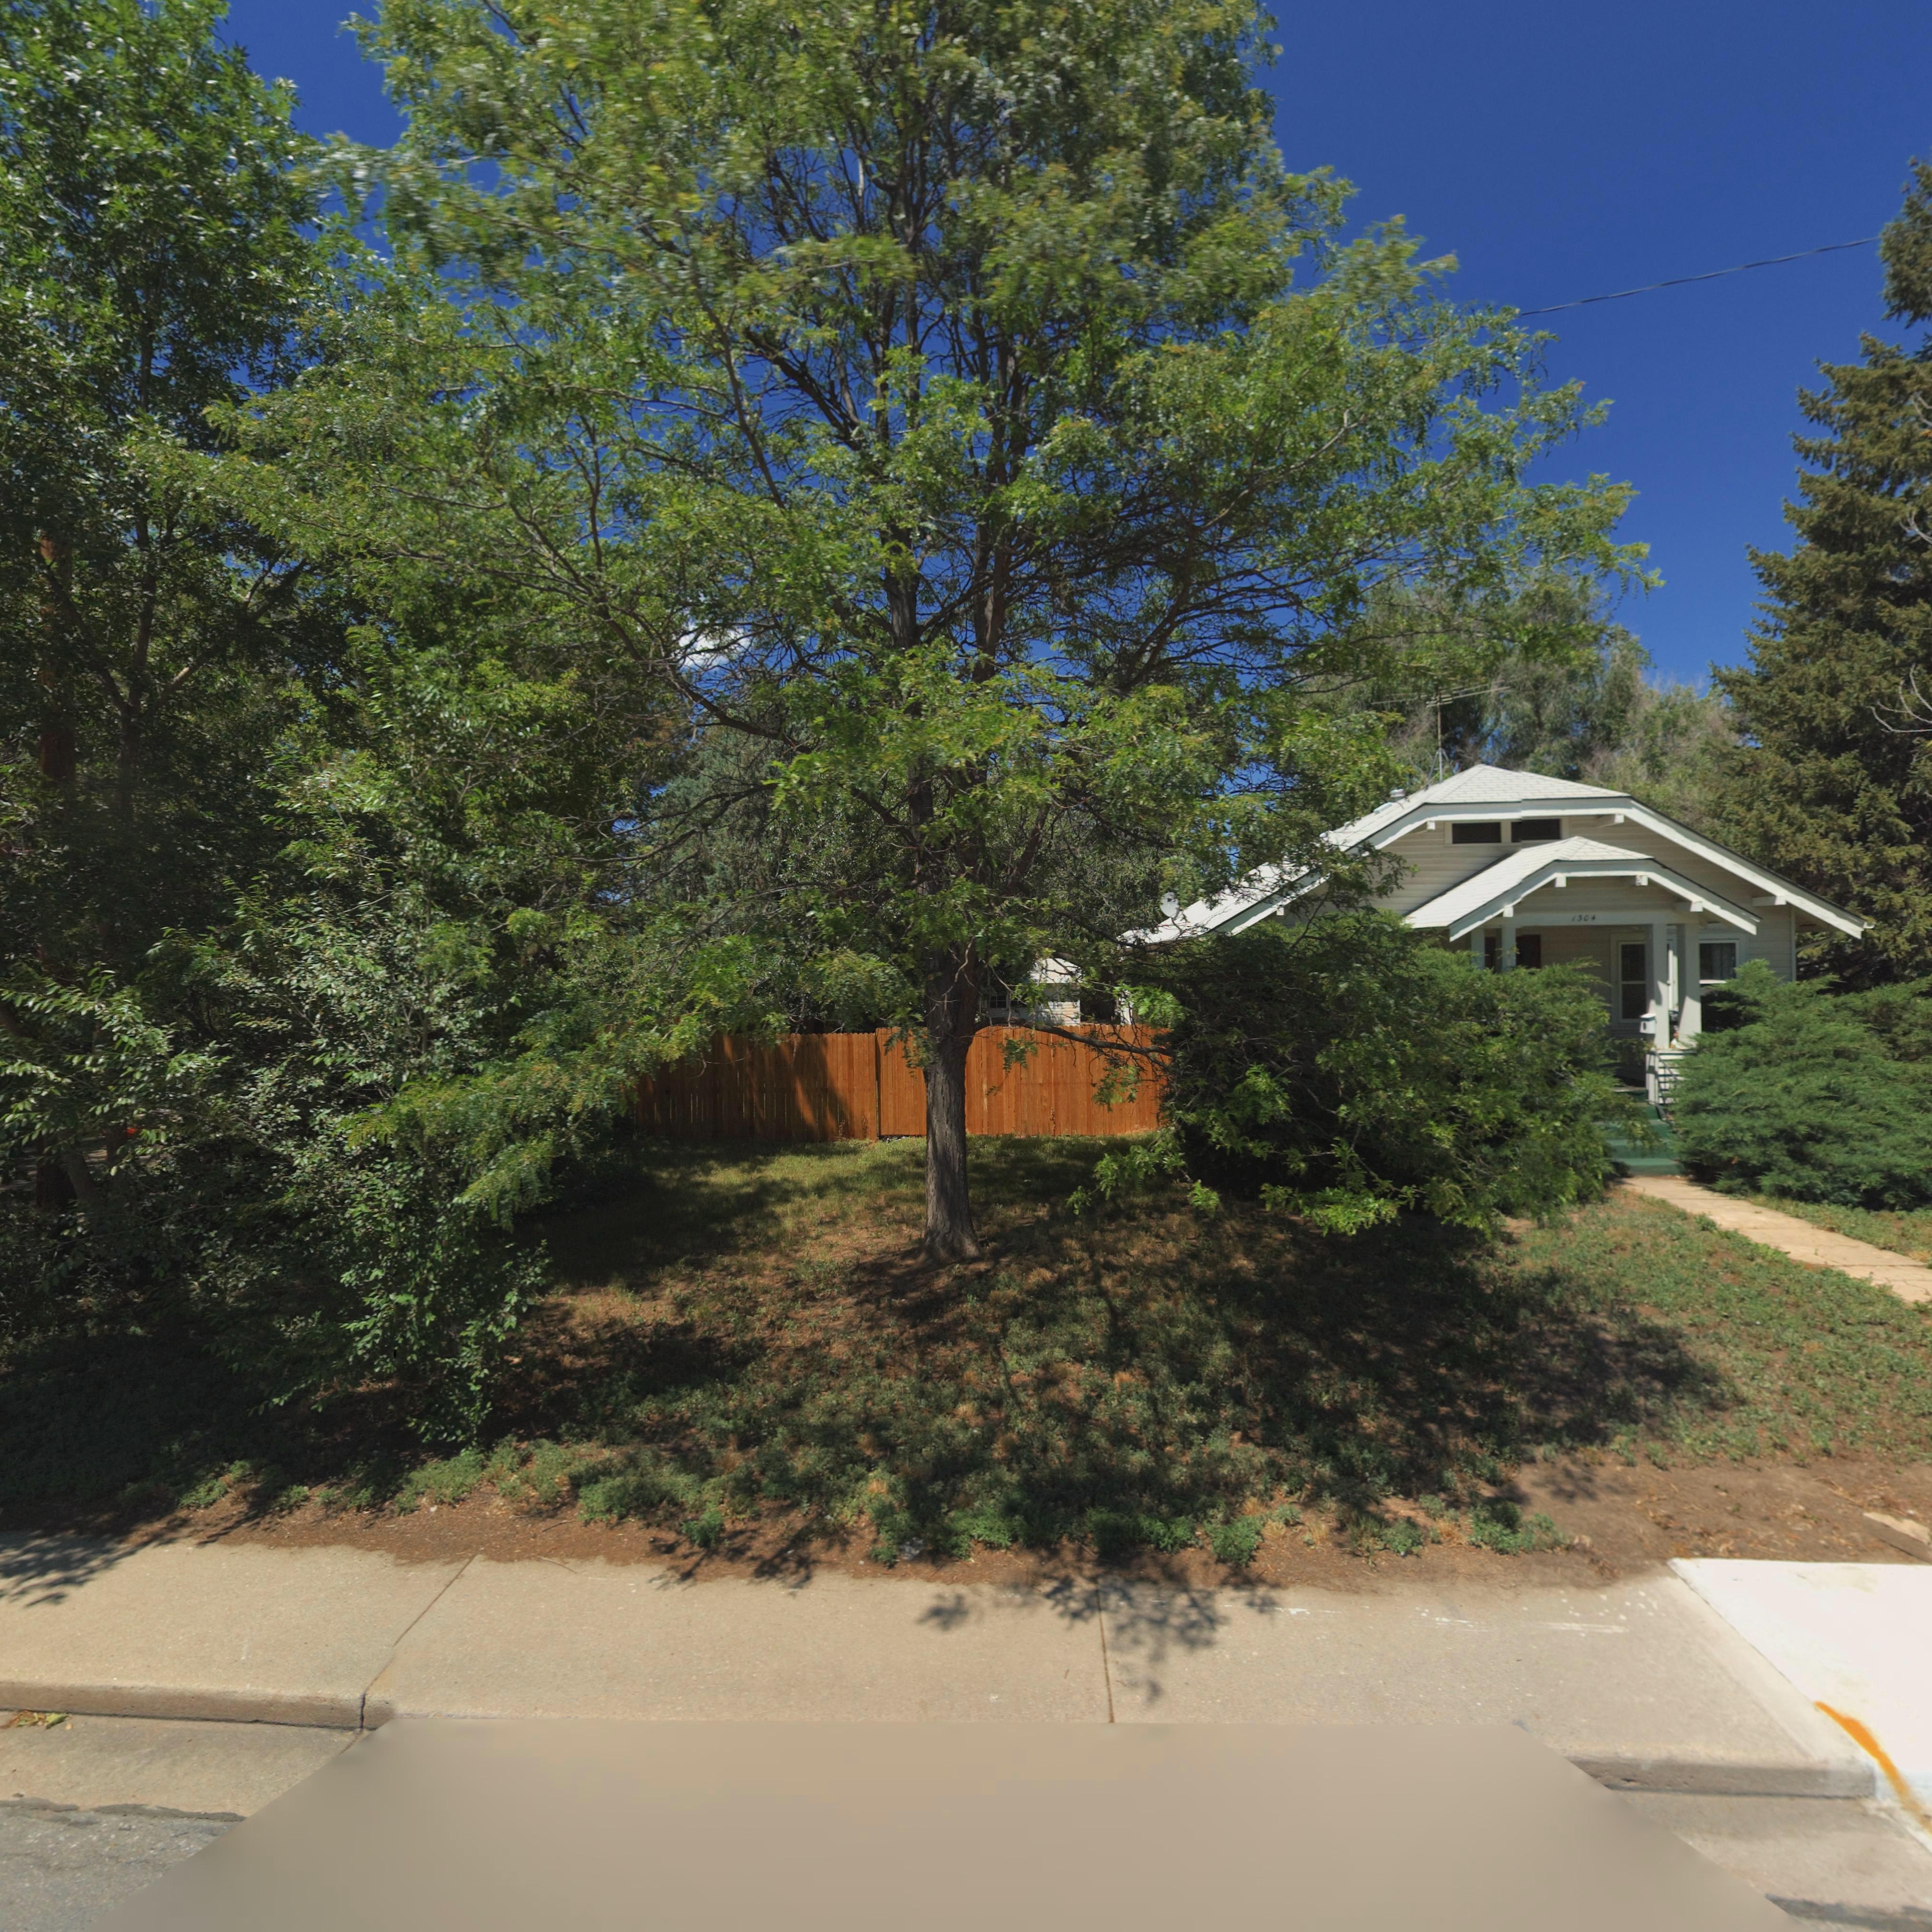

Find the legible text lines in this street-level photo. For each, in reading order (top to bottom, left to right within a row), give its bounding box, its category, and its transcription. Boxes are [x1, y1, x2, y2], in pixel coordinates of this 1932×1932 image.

[1571, 914, 1595, 922] StreetNumber: 1304